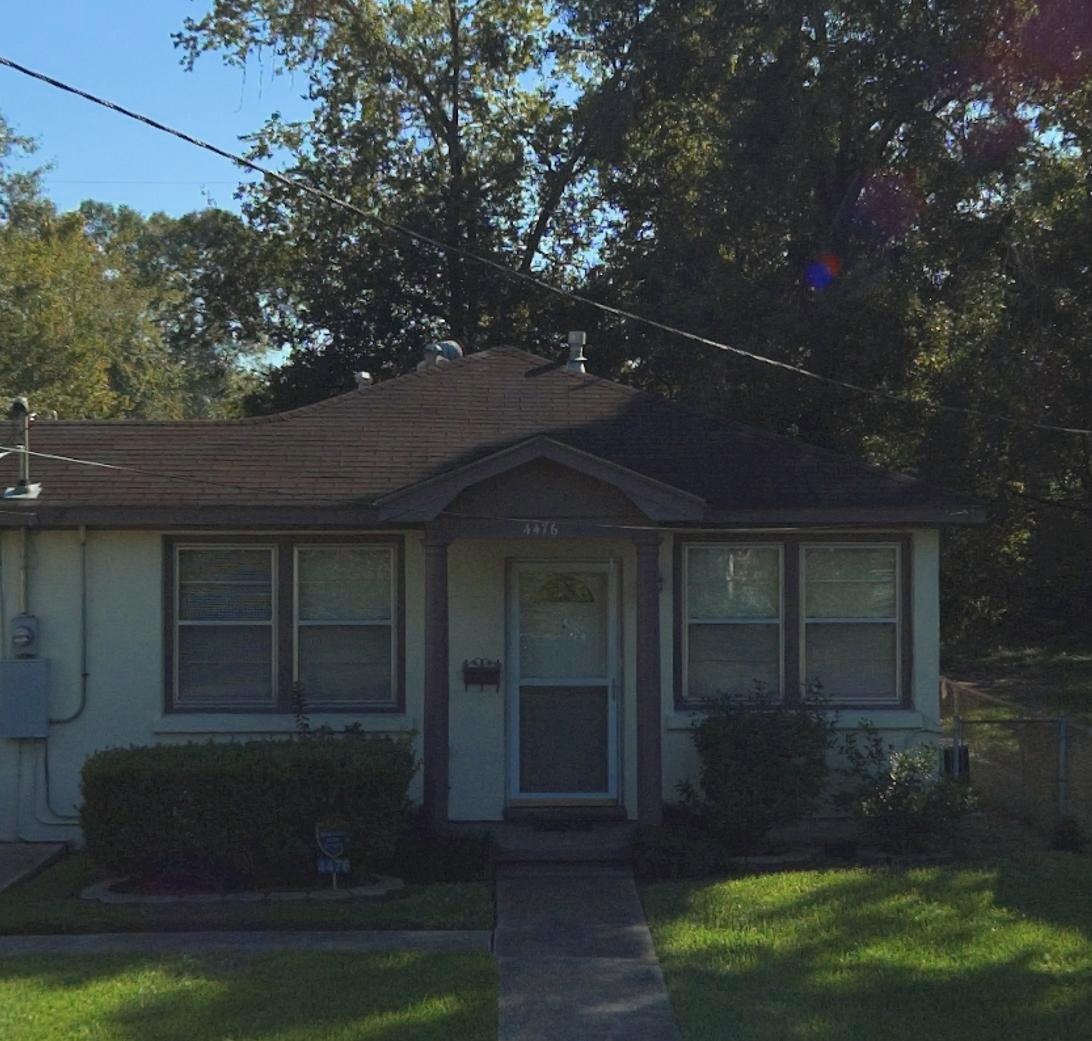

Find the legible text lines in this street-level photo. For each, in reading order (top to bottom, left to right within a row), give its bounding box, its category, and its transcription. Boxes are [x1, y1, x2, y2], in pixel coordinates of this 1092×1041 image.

[522, 520, 559, 536] StreetNumber: 4476
[316, 859, 351, 874] StreetNumber: 4476